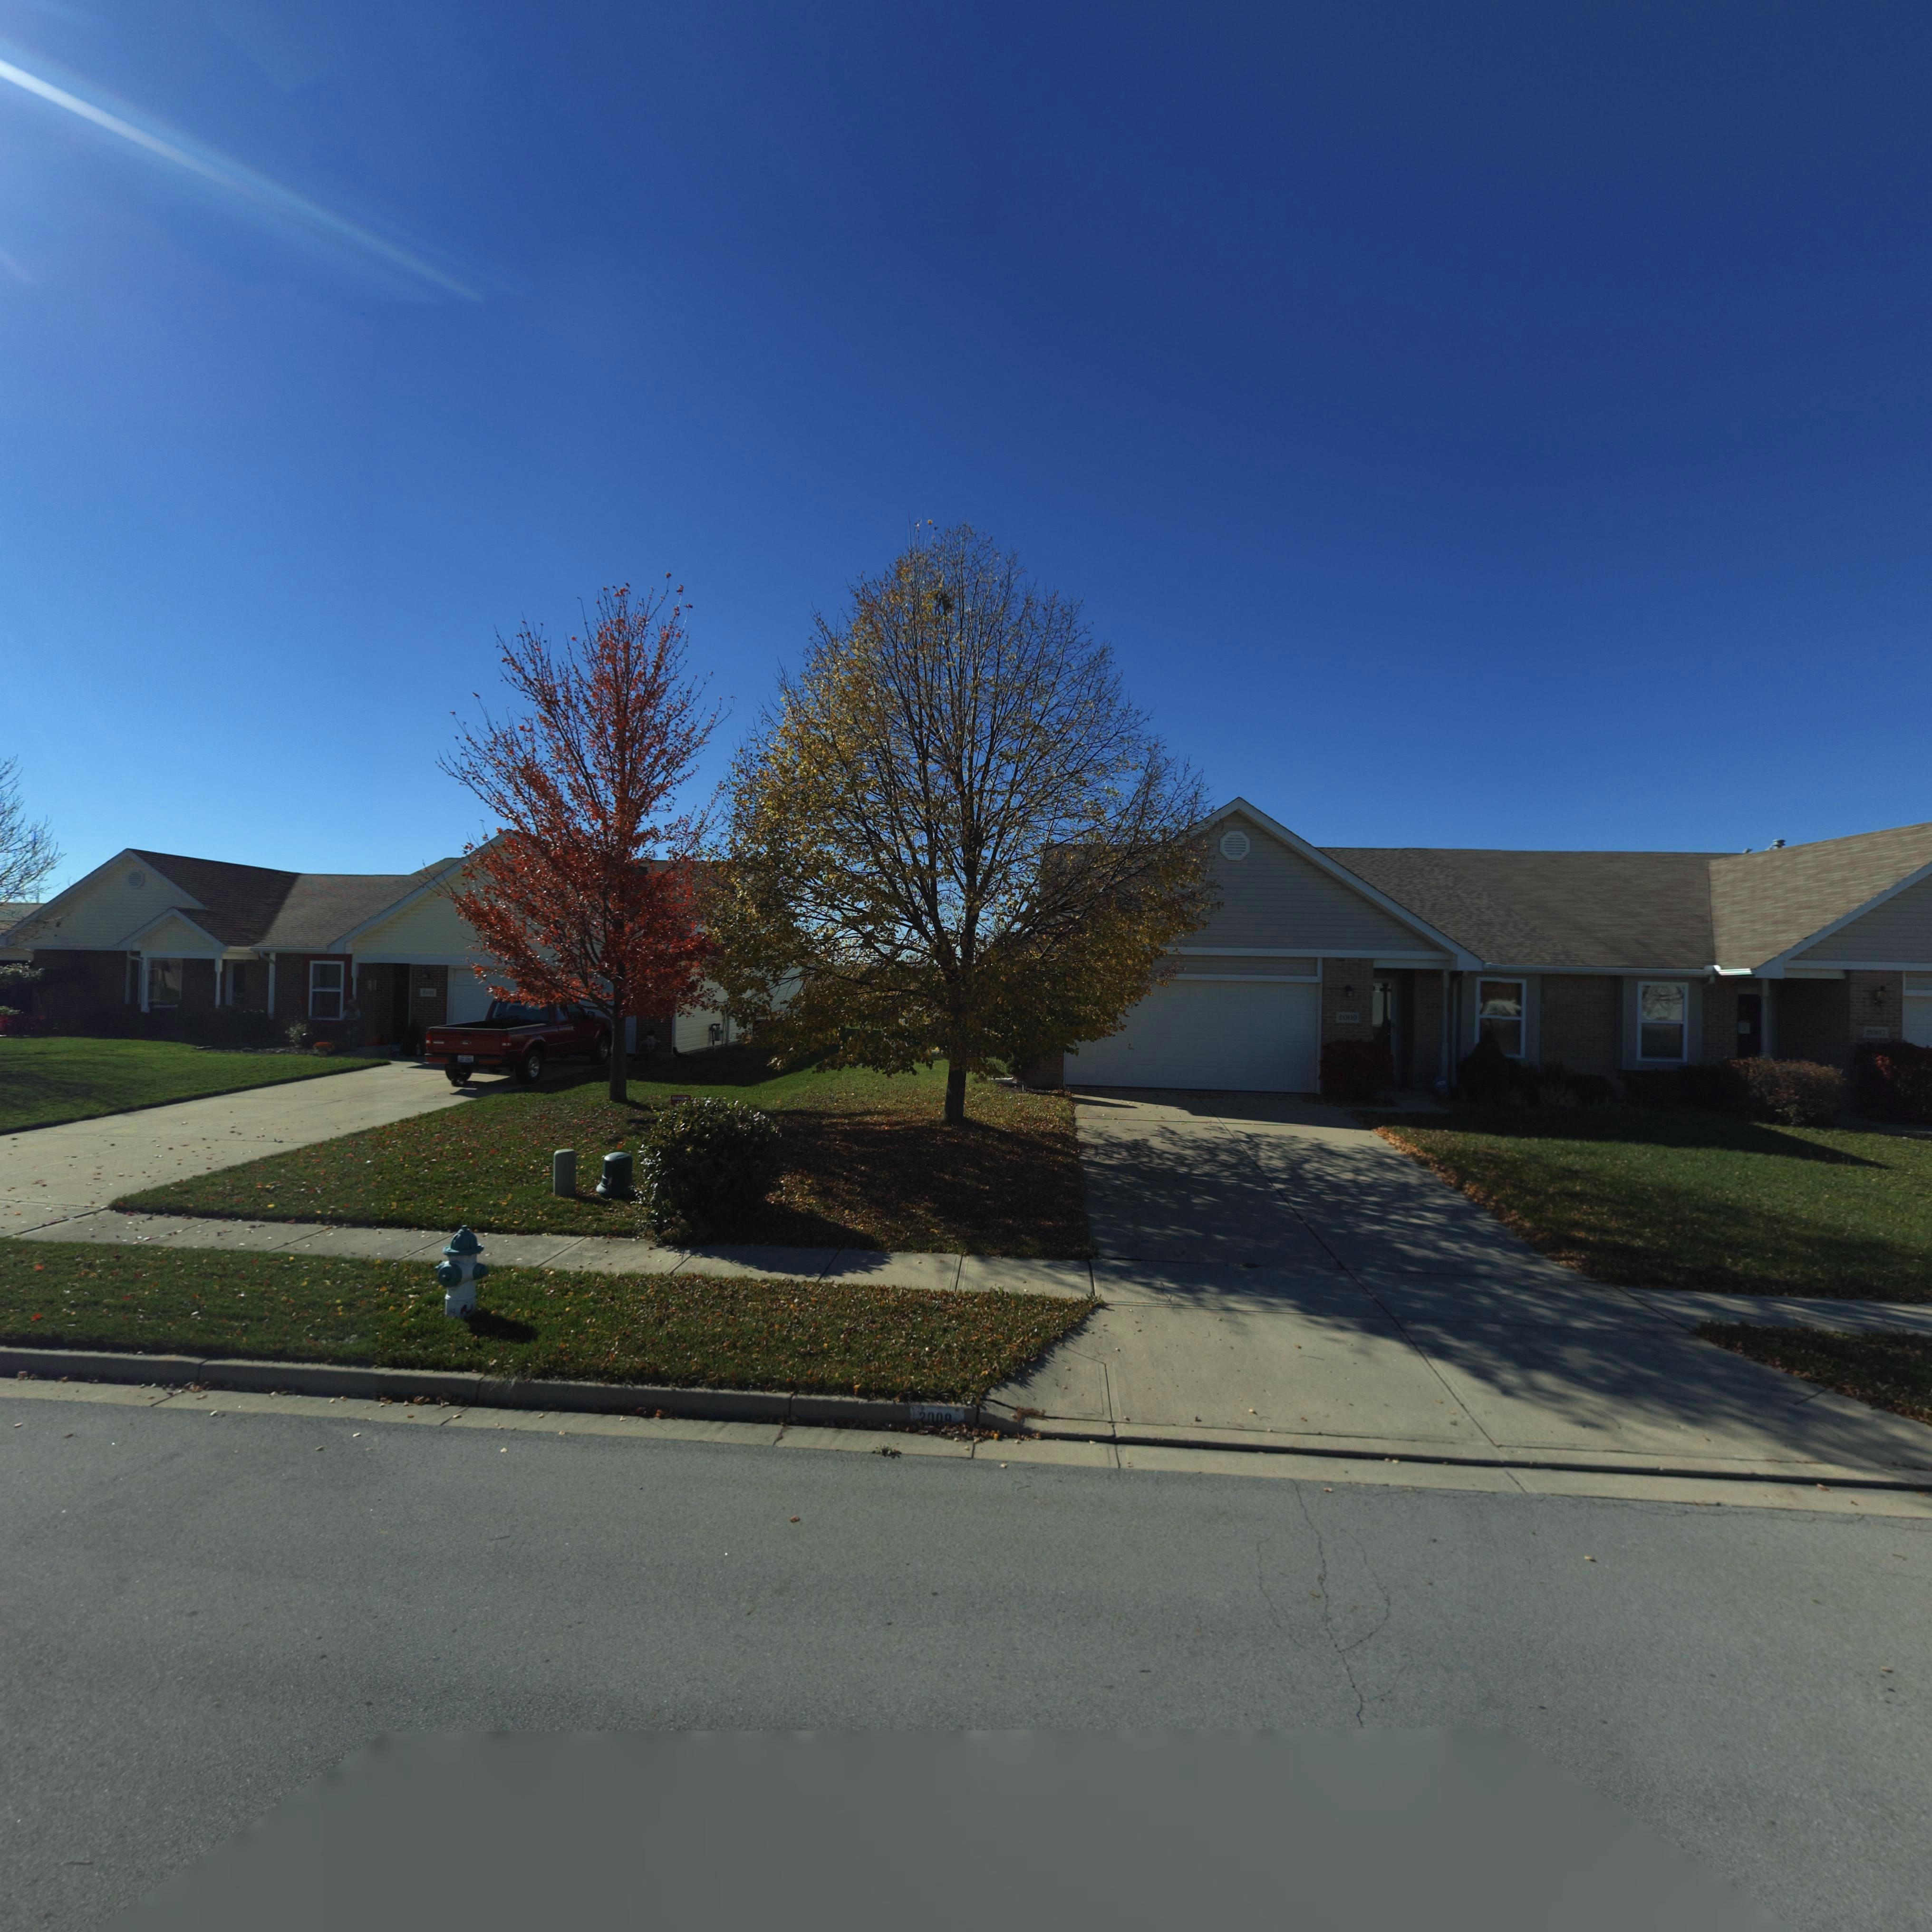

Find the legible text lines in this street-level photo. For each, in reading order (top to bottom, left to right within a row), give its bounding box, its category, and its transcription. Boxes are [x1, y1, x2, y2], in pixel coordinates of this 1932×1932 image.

[421, 989, 435, 996] StreetNumber: *011
[1338, 1014, 1358, 1022] StreetNumber: 2009
[1865, 1028, 1888, 1037] StreetNumber: *007